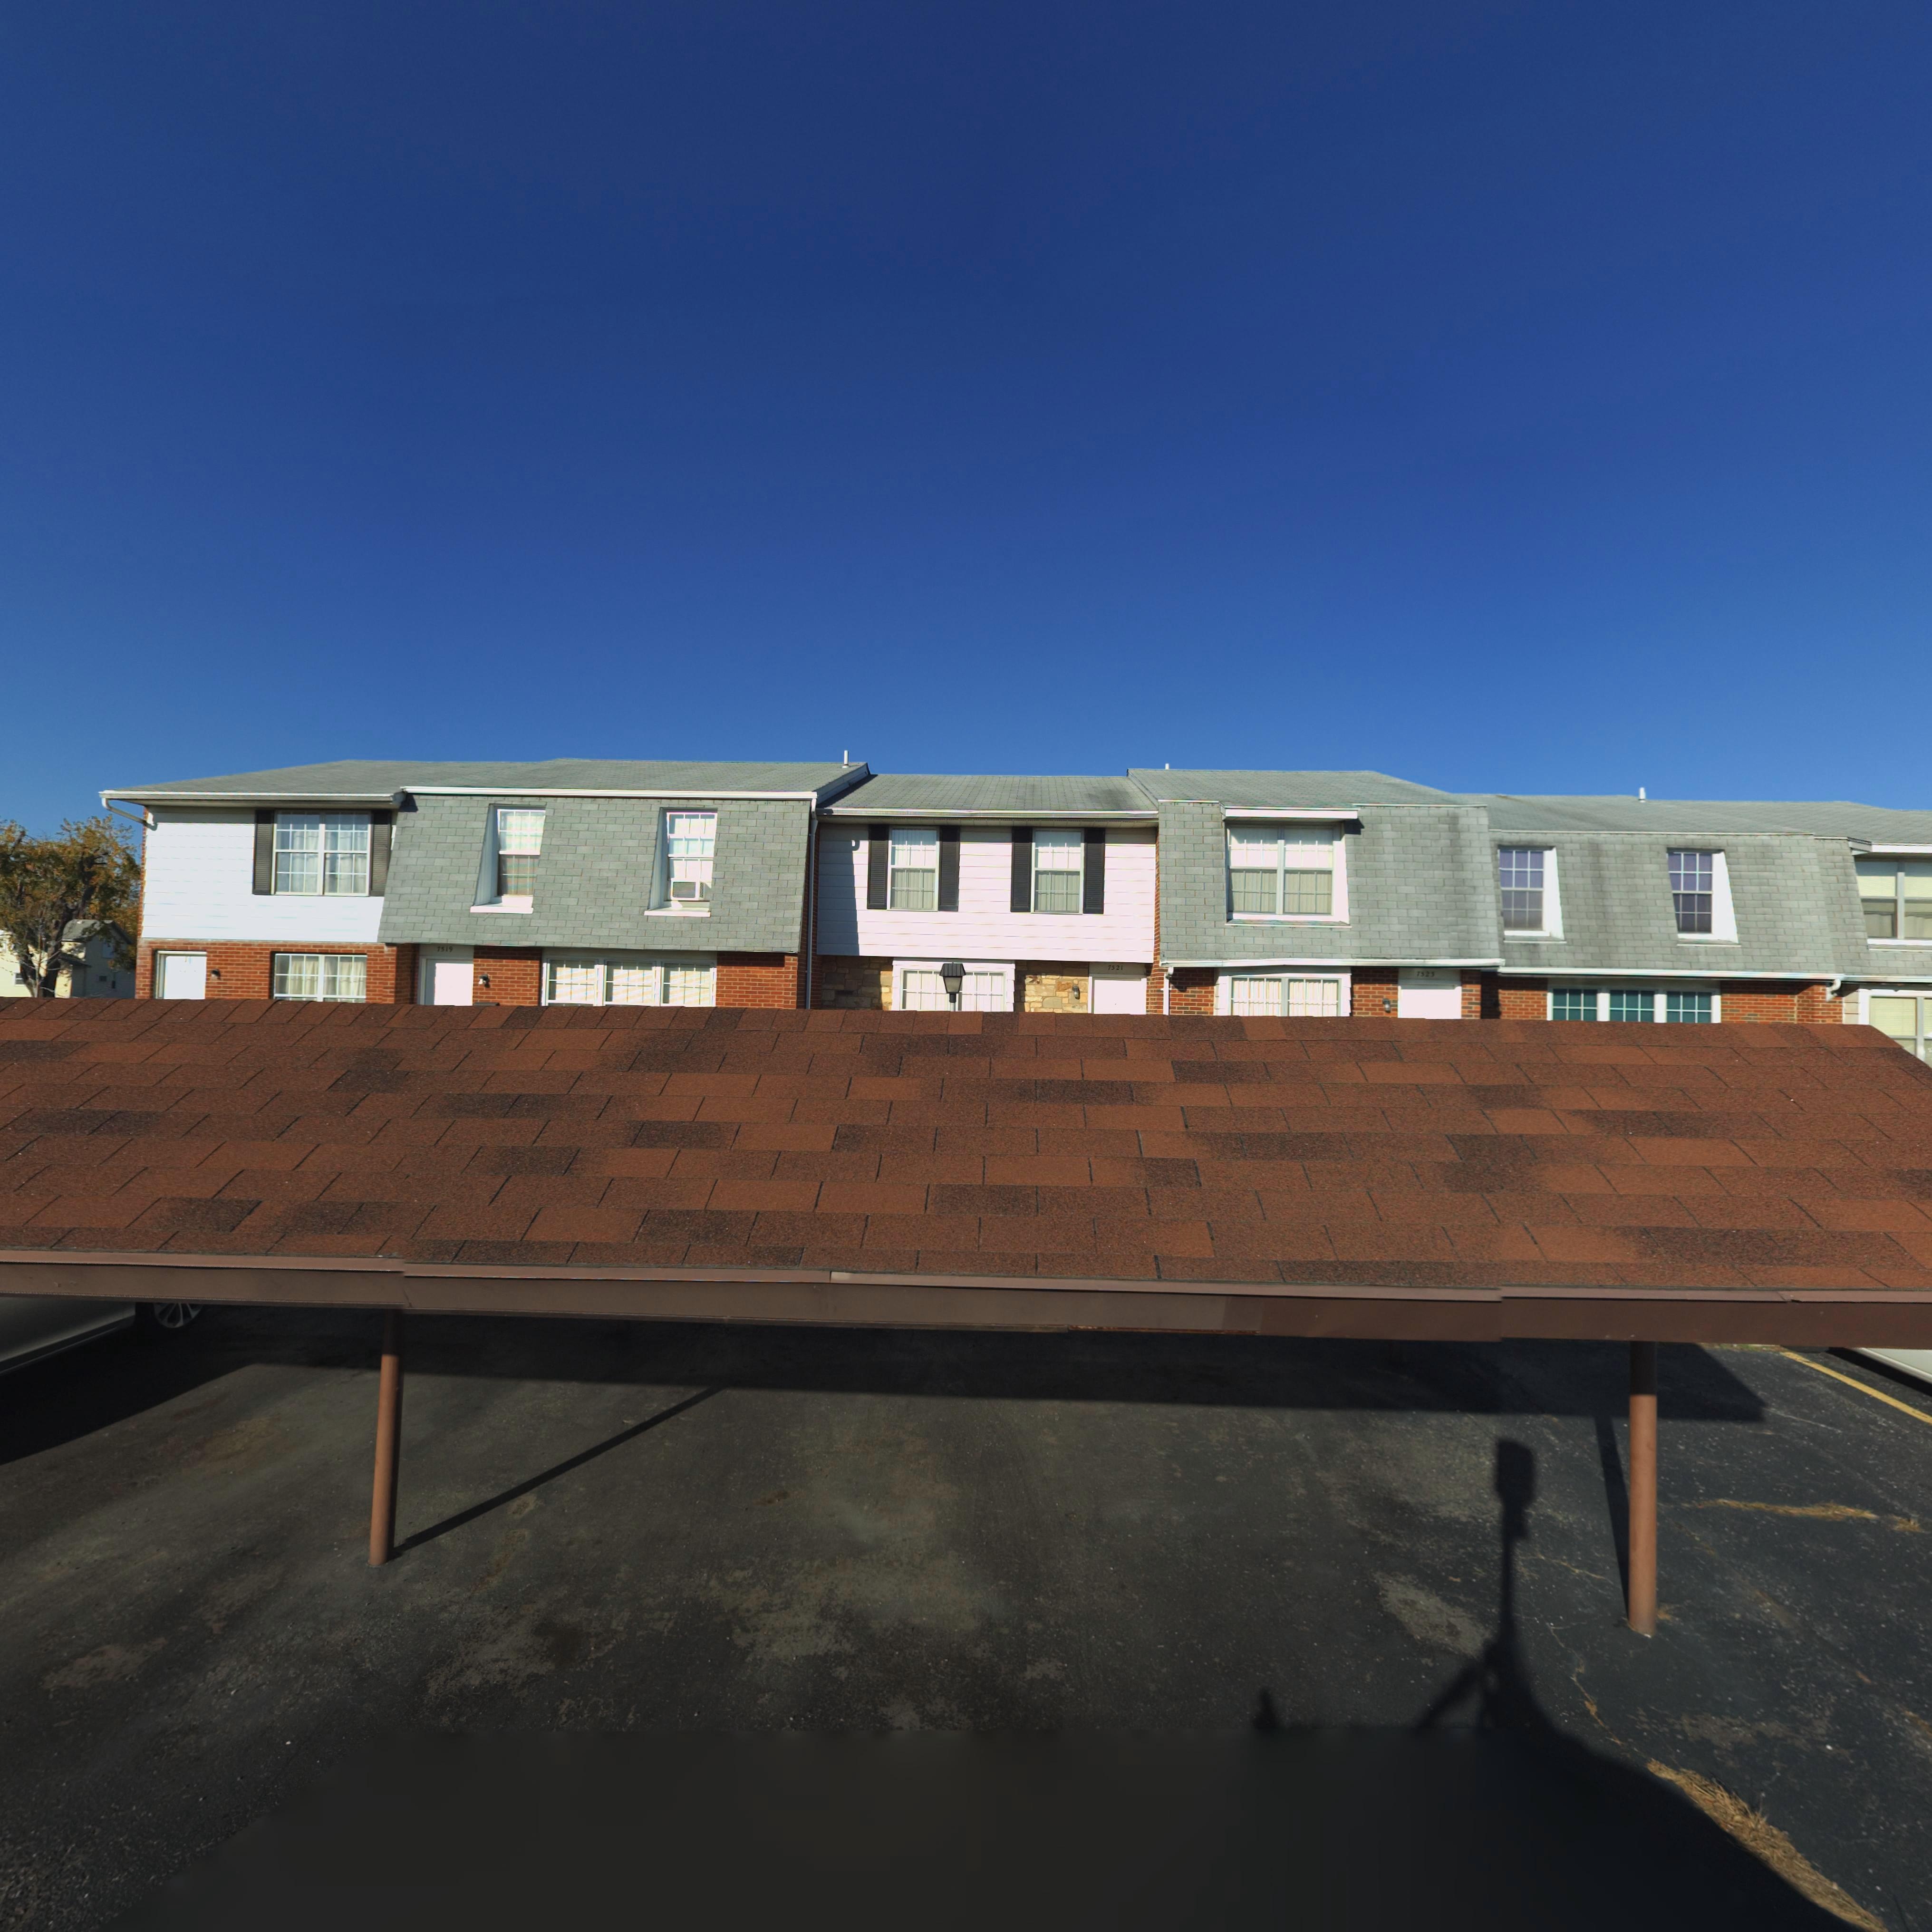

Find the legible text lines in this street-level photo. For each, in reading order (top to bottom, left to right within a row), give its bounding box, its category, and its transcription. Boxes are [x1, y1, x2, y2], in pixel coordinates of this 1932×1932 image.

[436, 946, 453, 952] StreetNumber: 7519
[1107, 964, 1123, 970] StreetNumber: 7521
[1416, 971, 1435, 977] StreetNumber: 7523